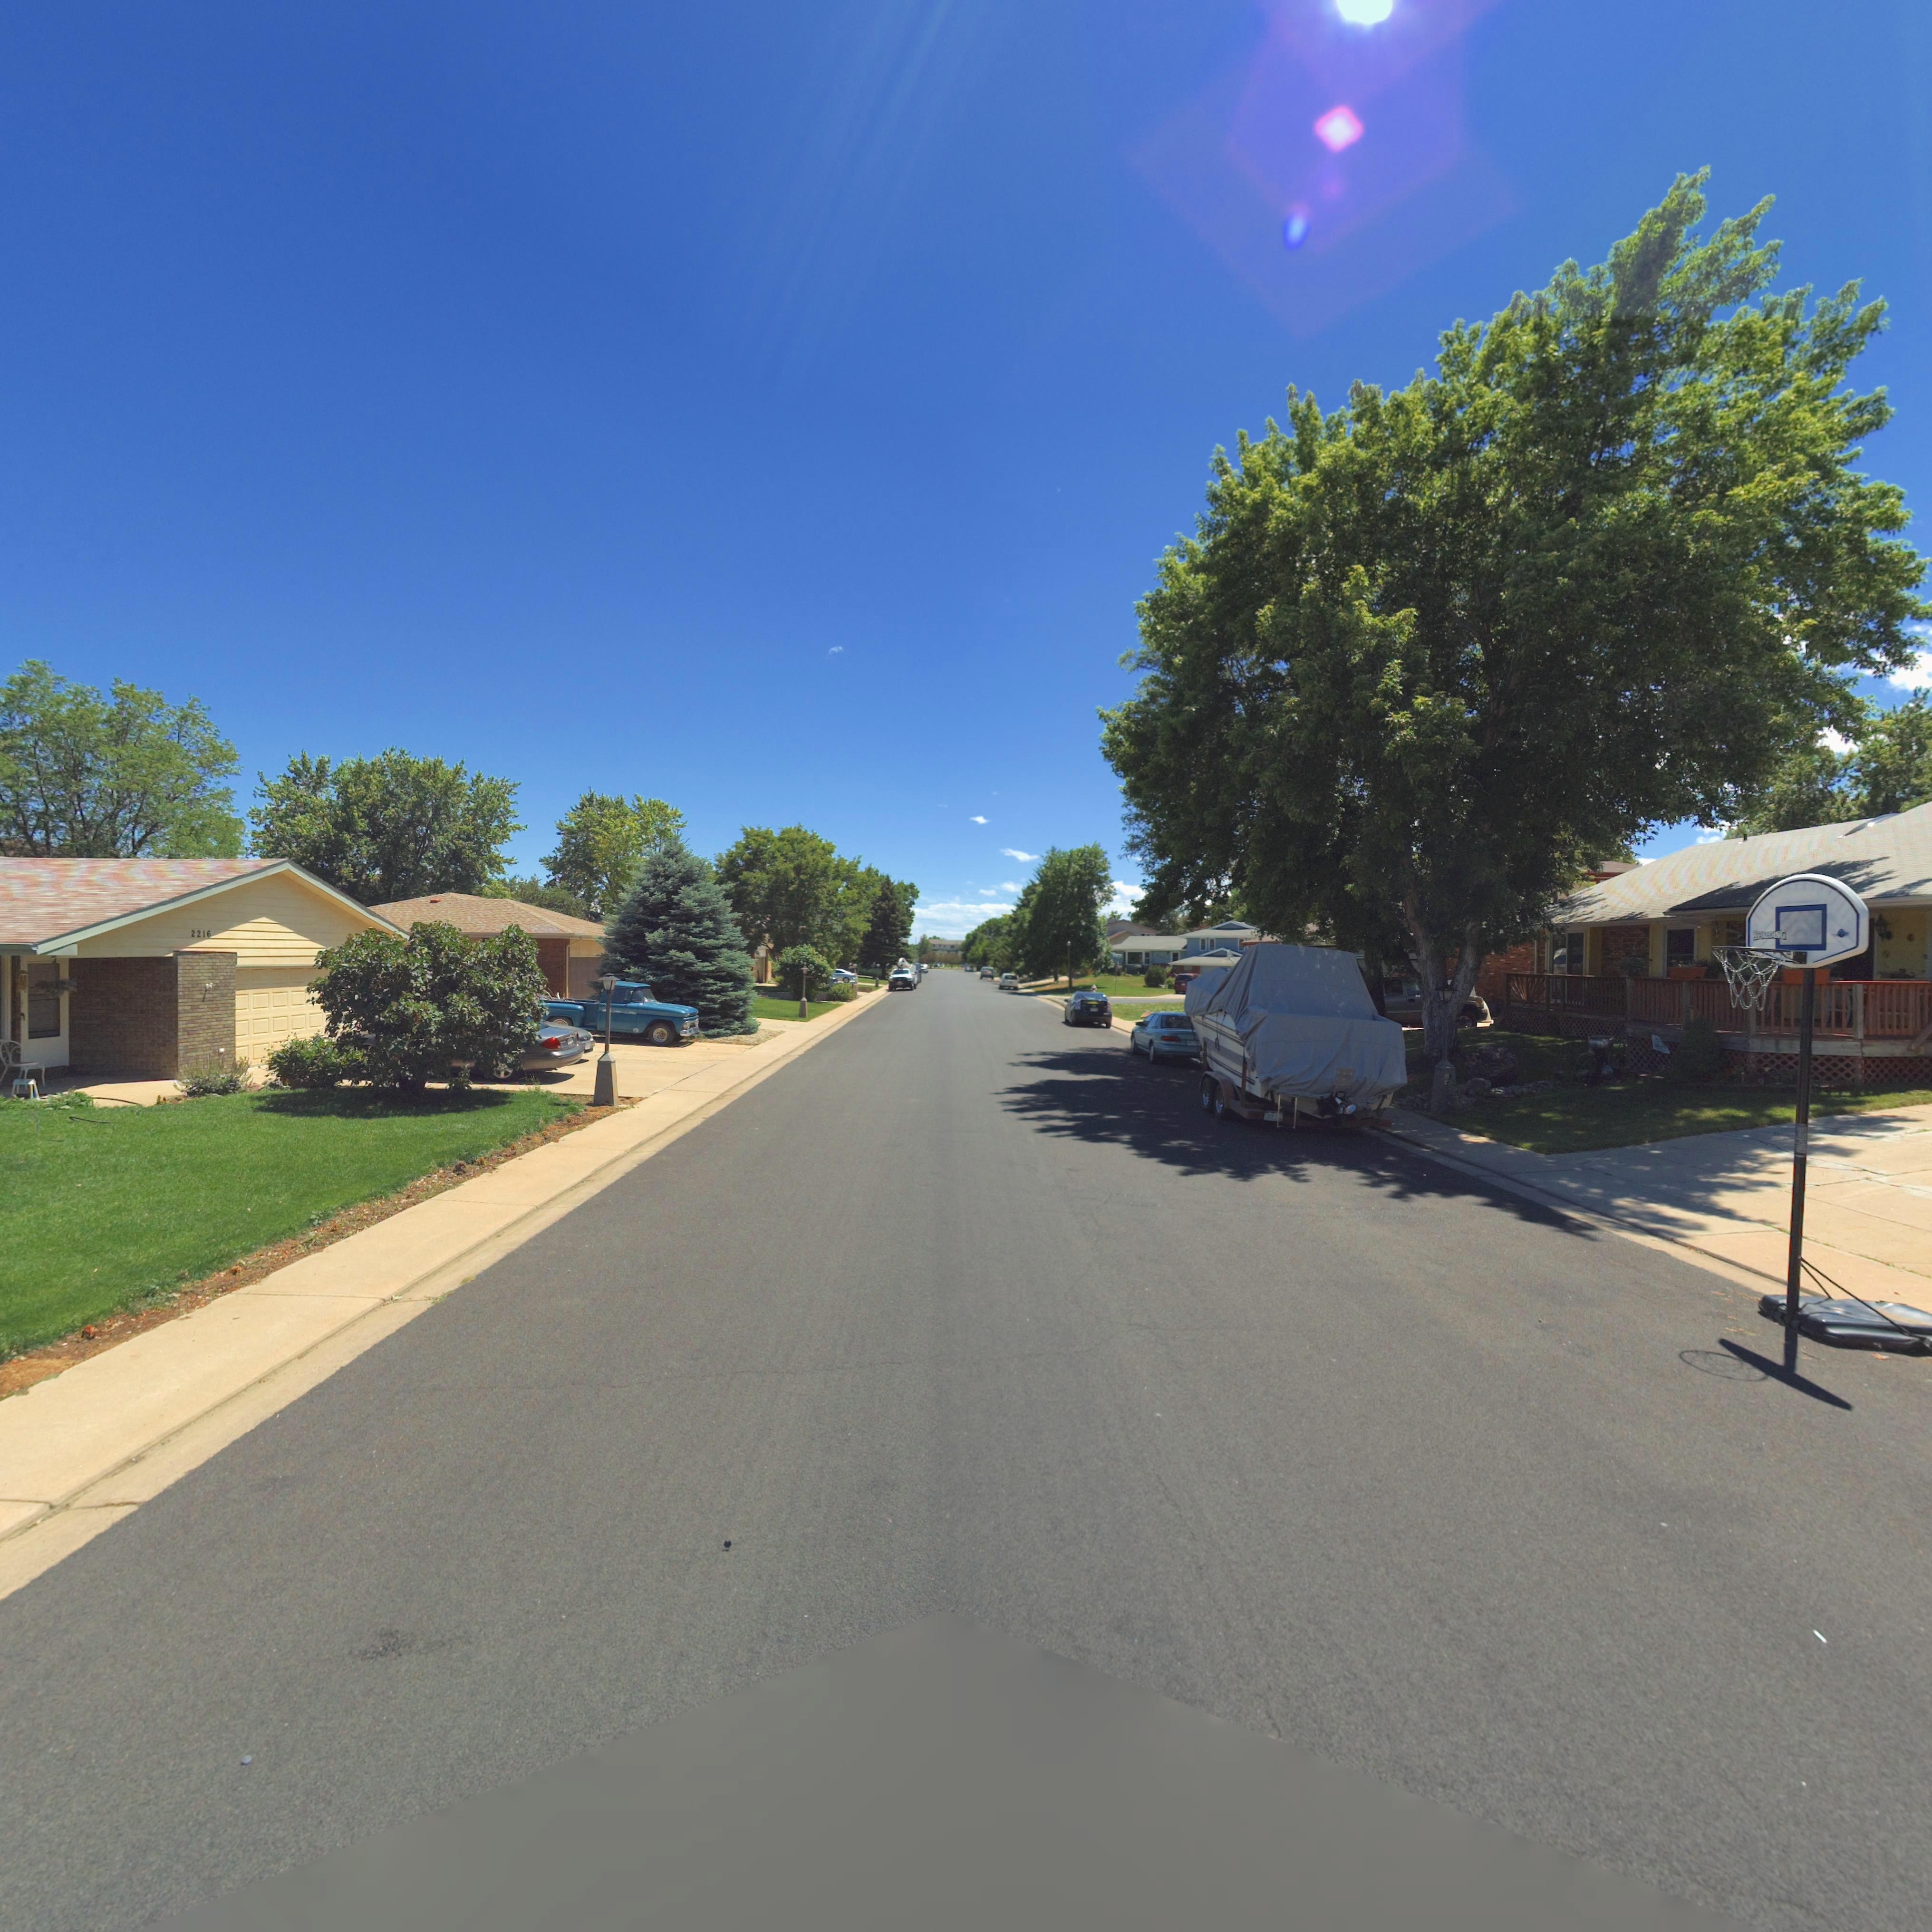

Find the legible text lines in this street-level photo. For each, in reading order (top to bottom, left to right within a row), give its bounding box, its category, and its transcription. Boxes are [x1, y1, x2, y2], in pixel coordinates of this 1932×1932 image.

[191, 929, 211, 937] StreetNumber: 2216